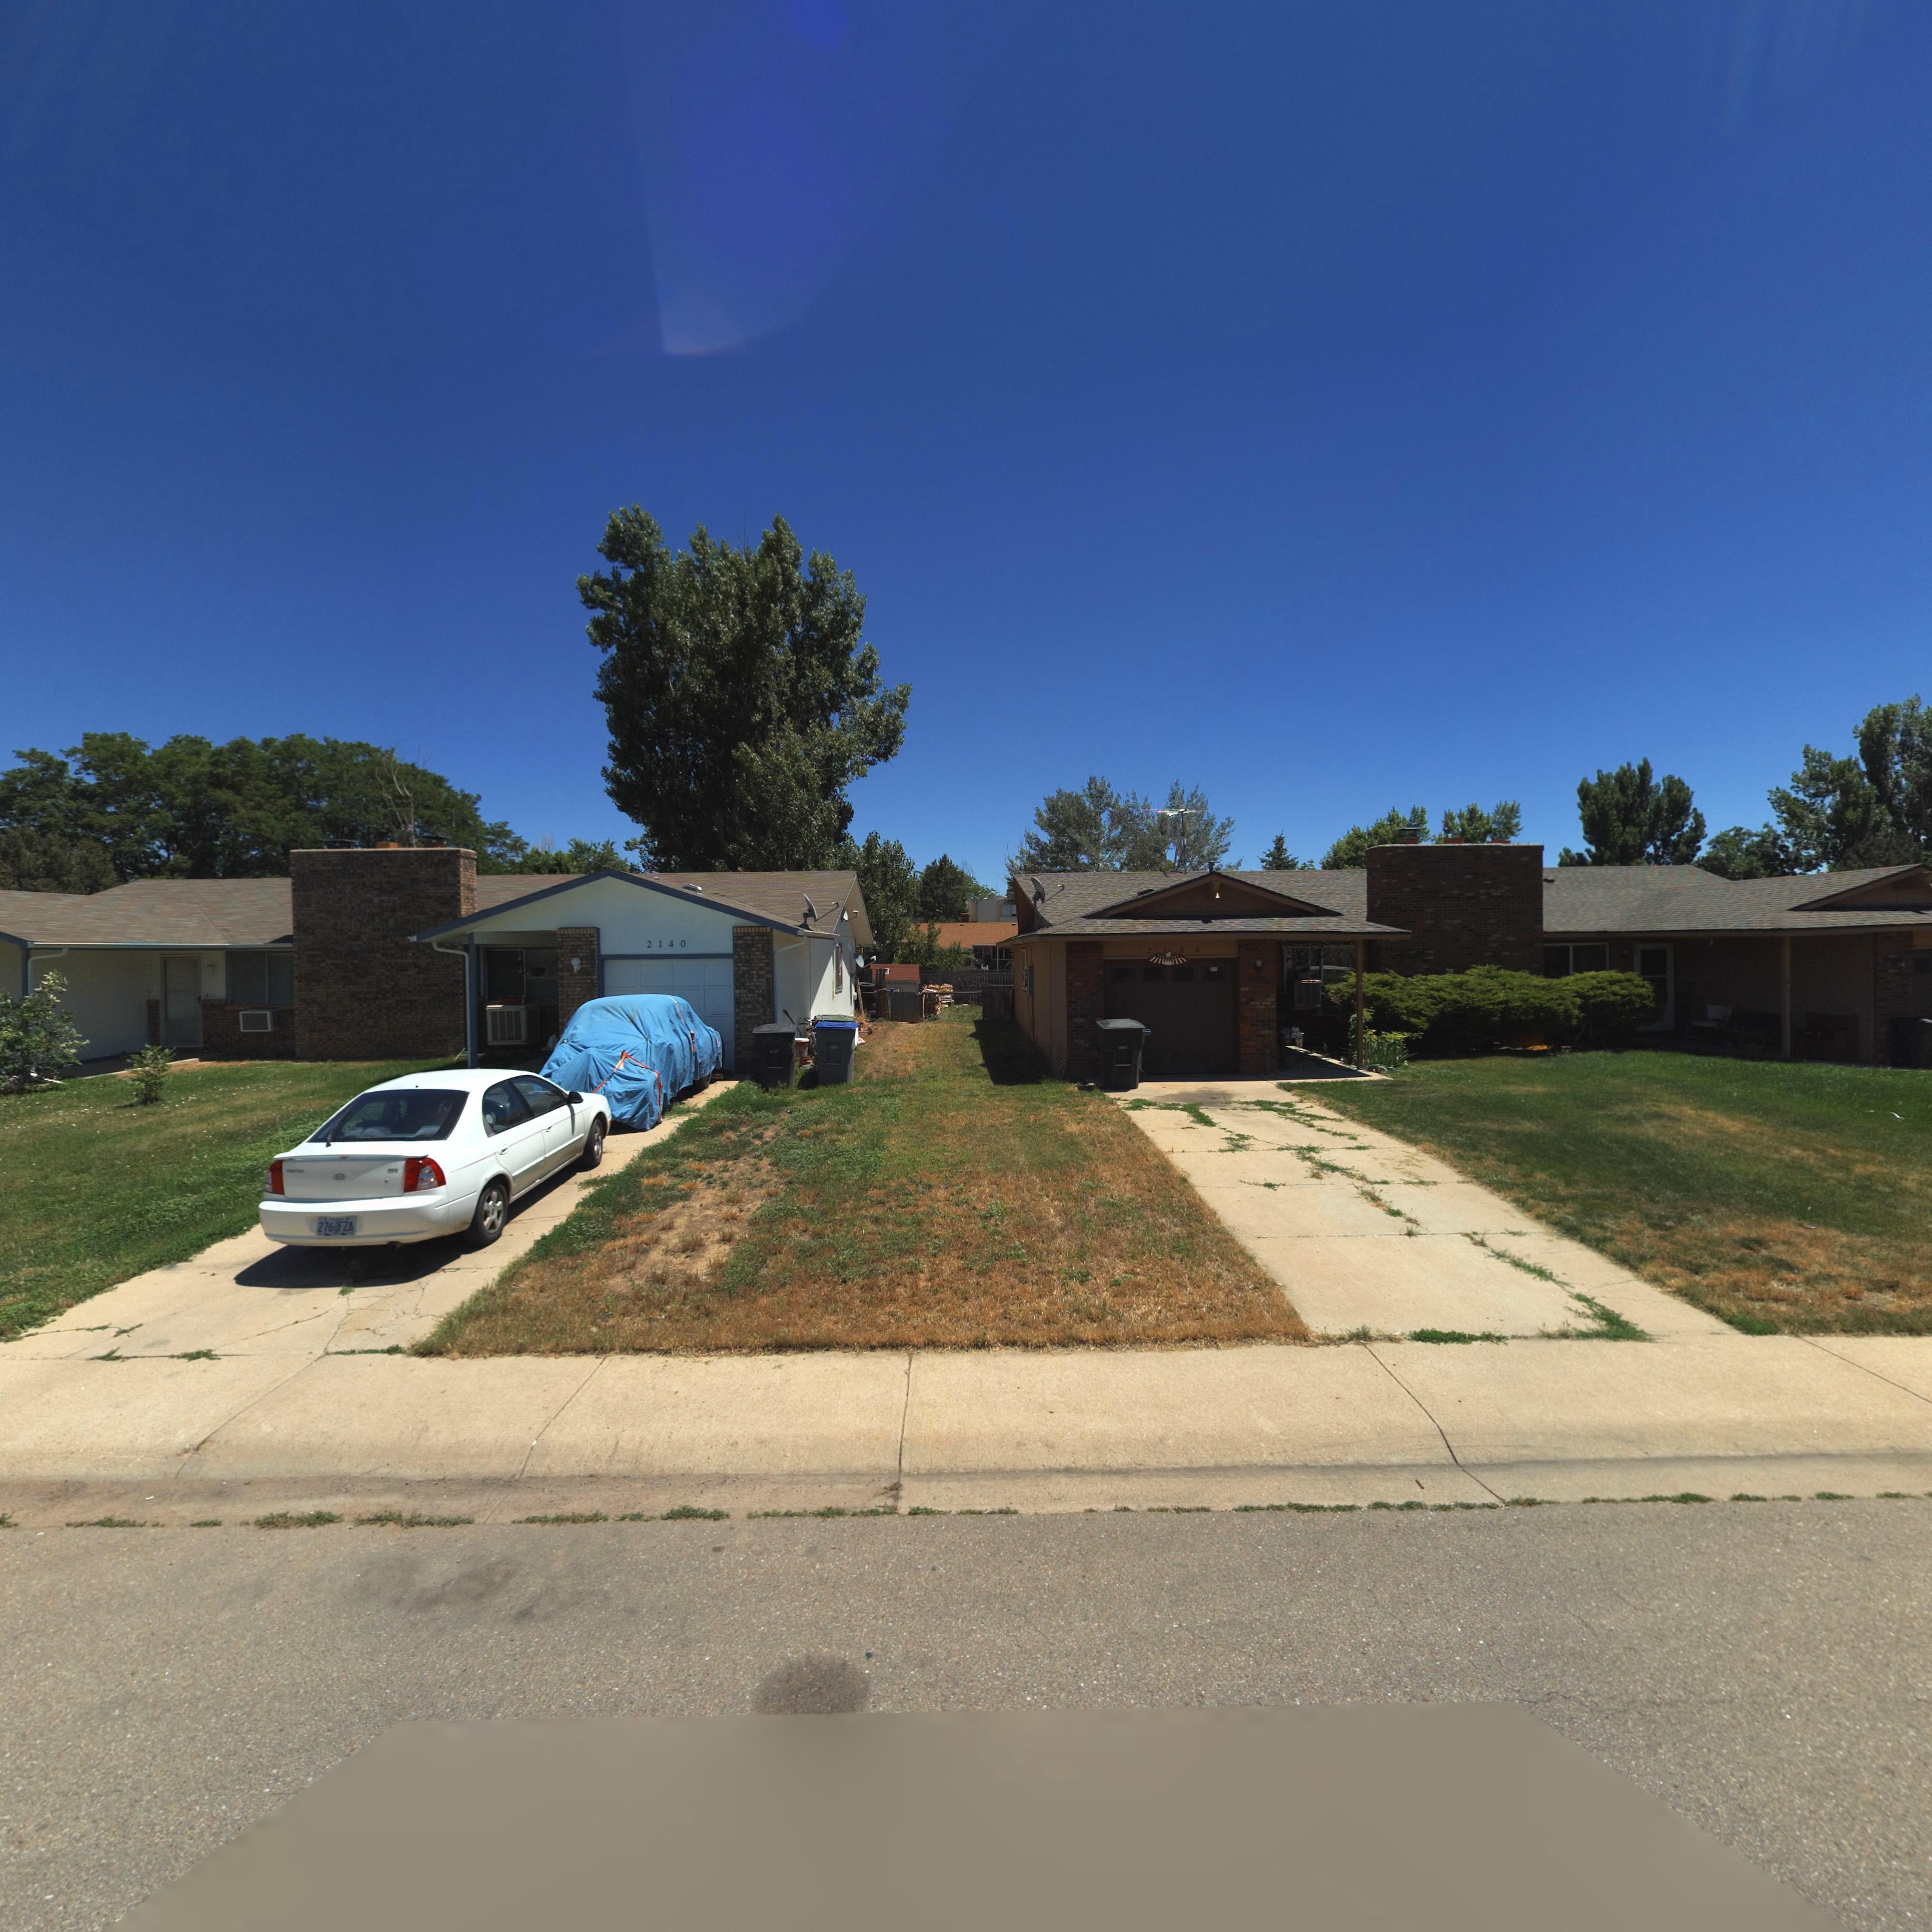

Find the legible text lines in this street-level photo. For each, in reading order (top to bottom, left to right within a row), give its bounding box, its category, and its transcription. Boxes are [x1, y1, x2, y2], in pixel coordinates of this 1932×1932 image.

[646, 938, 686, 949] StreetNumber: 2140
[1146, 946, 1201, 955] StreetNumber: 2134